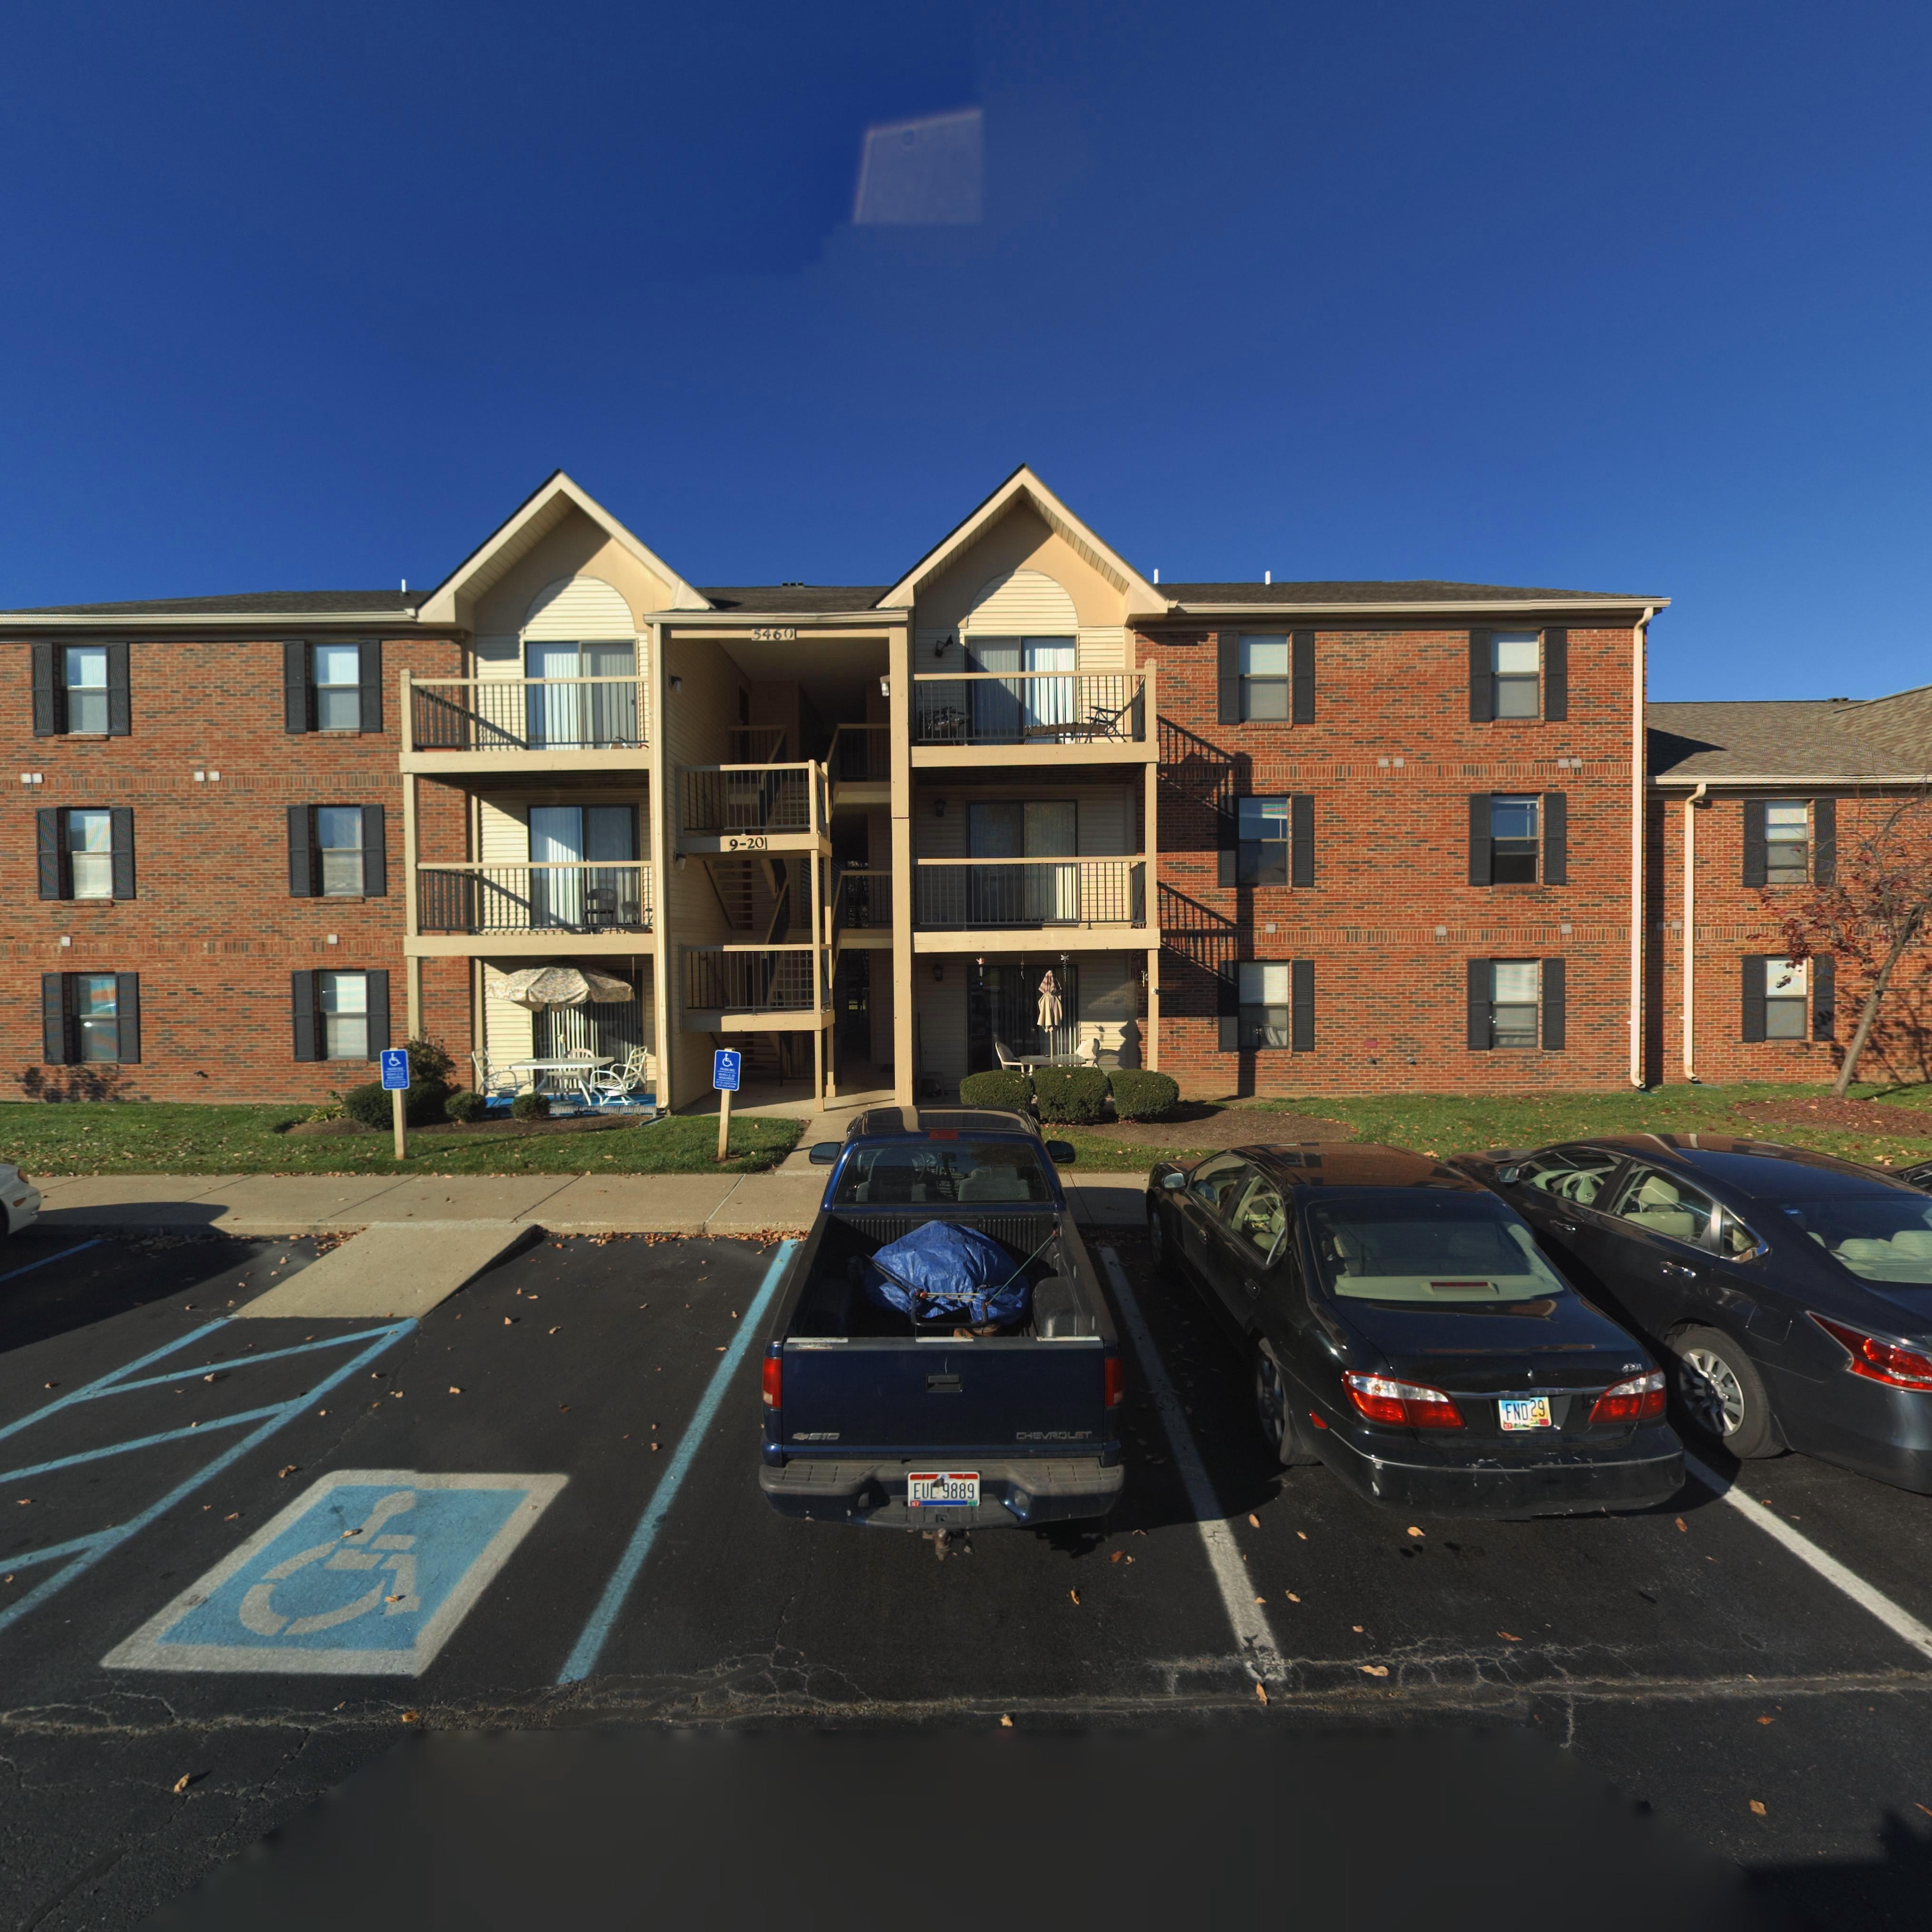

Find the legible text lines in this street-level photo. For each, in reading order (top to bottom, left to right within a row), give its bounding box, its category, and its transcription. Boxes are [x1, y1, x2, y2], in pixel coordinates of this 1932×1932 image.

[751, 626, 794, 641] StreetNumber: 5460
[728, 835, 765, 852] StreetNumber: 9-20